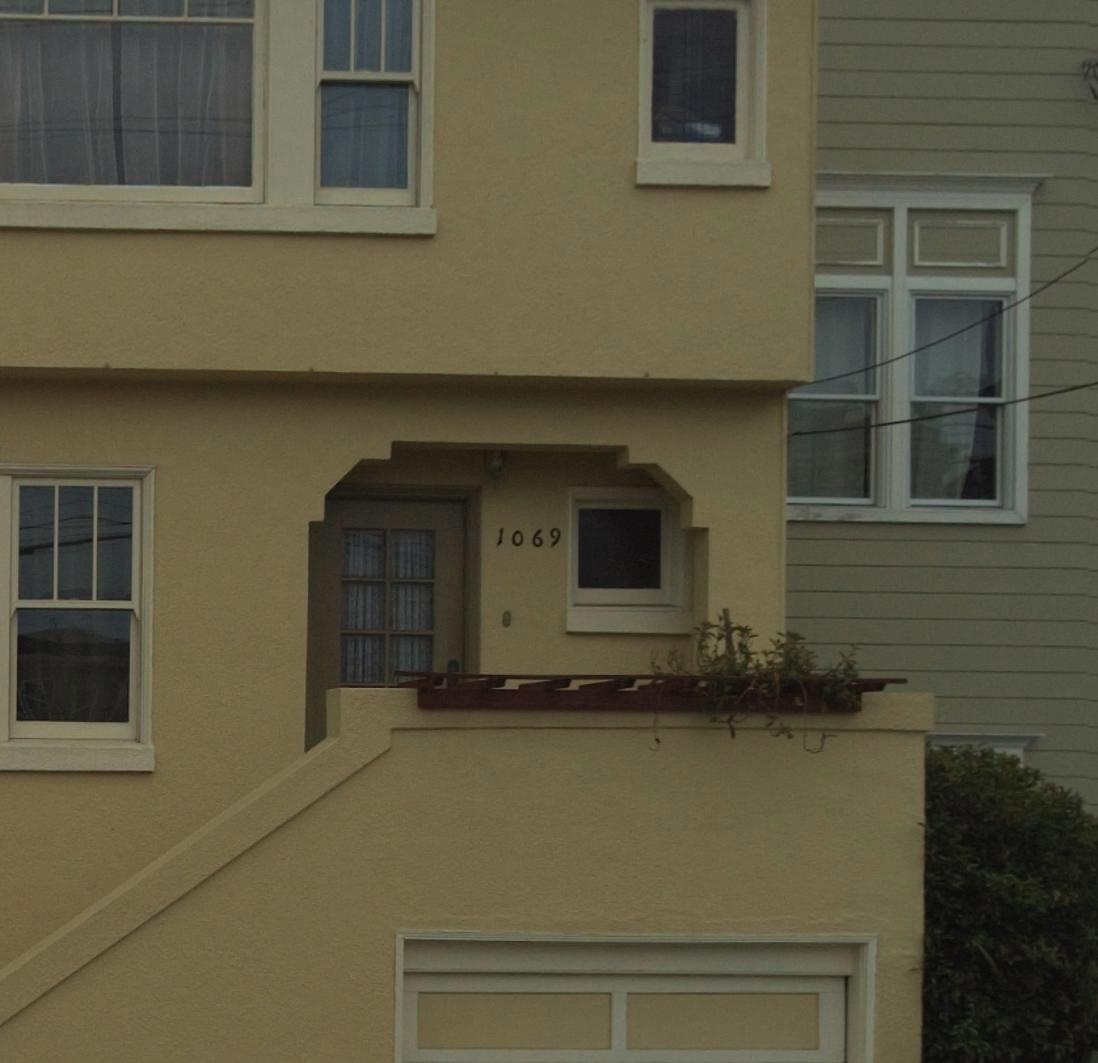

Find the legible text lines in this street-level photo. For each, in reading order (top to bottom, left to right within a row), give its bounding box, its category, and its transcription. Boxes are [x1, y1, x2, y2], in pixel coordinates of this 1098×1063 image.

[492, 525, 565, 549] StreetNumber: 1069